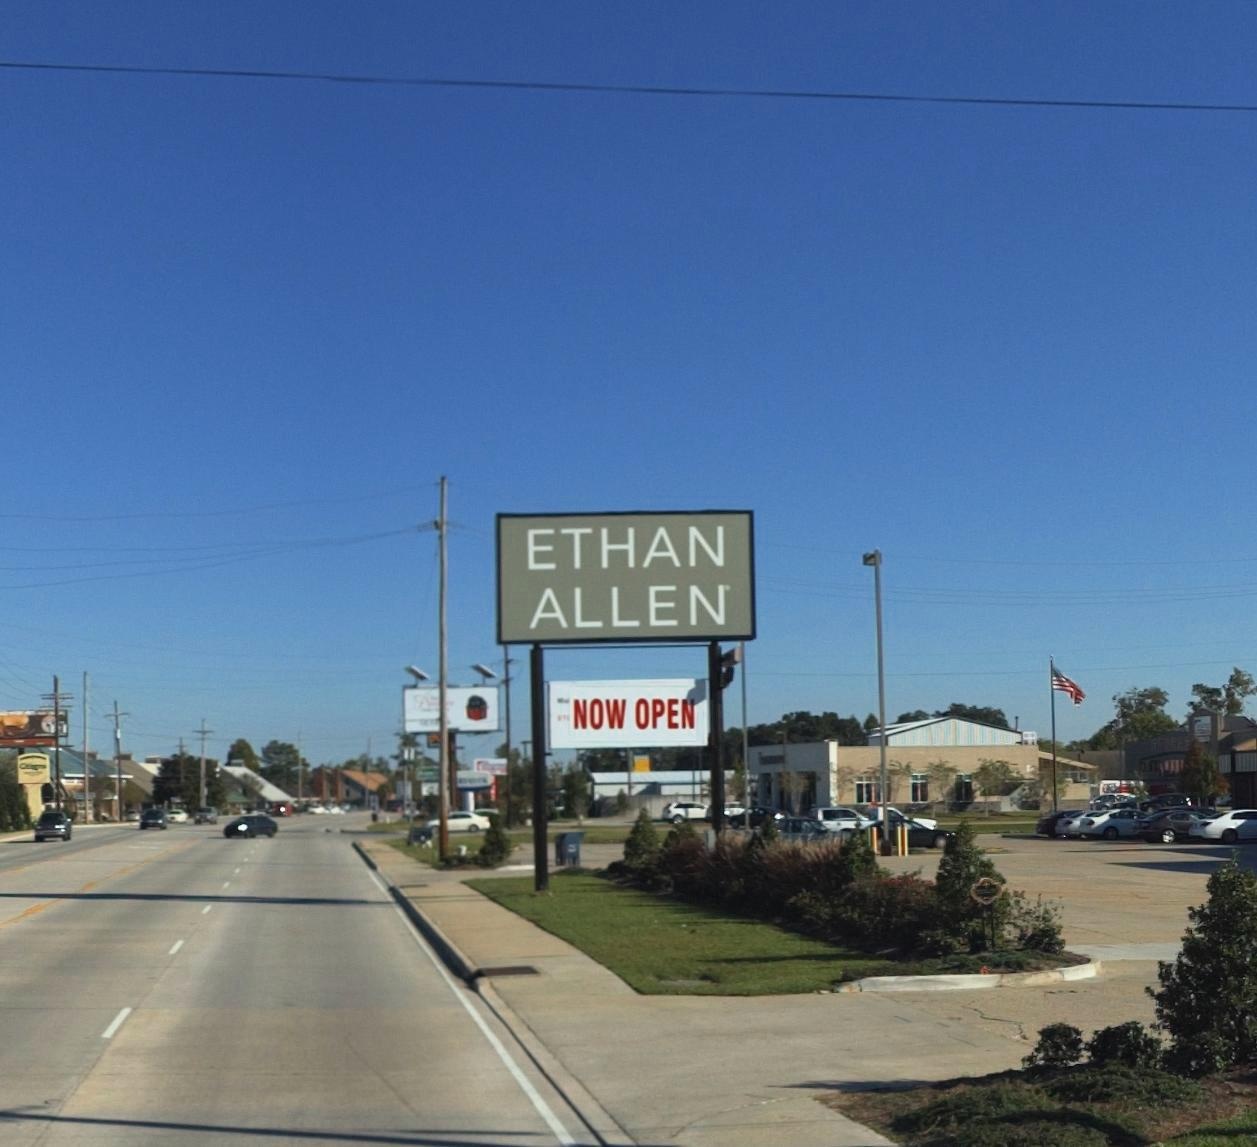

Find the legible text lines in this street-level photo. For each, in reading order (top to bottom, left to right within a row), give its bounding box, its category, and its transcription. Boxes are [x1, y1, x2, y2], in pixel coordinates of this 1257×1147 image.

[526, 524, 727, 571] BusinessName: ETHAN
[526, 583, 727, 631] BusinessName: ALLEN
[572, 697, 696, 731] None: NOW OPEN